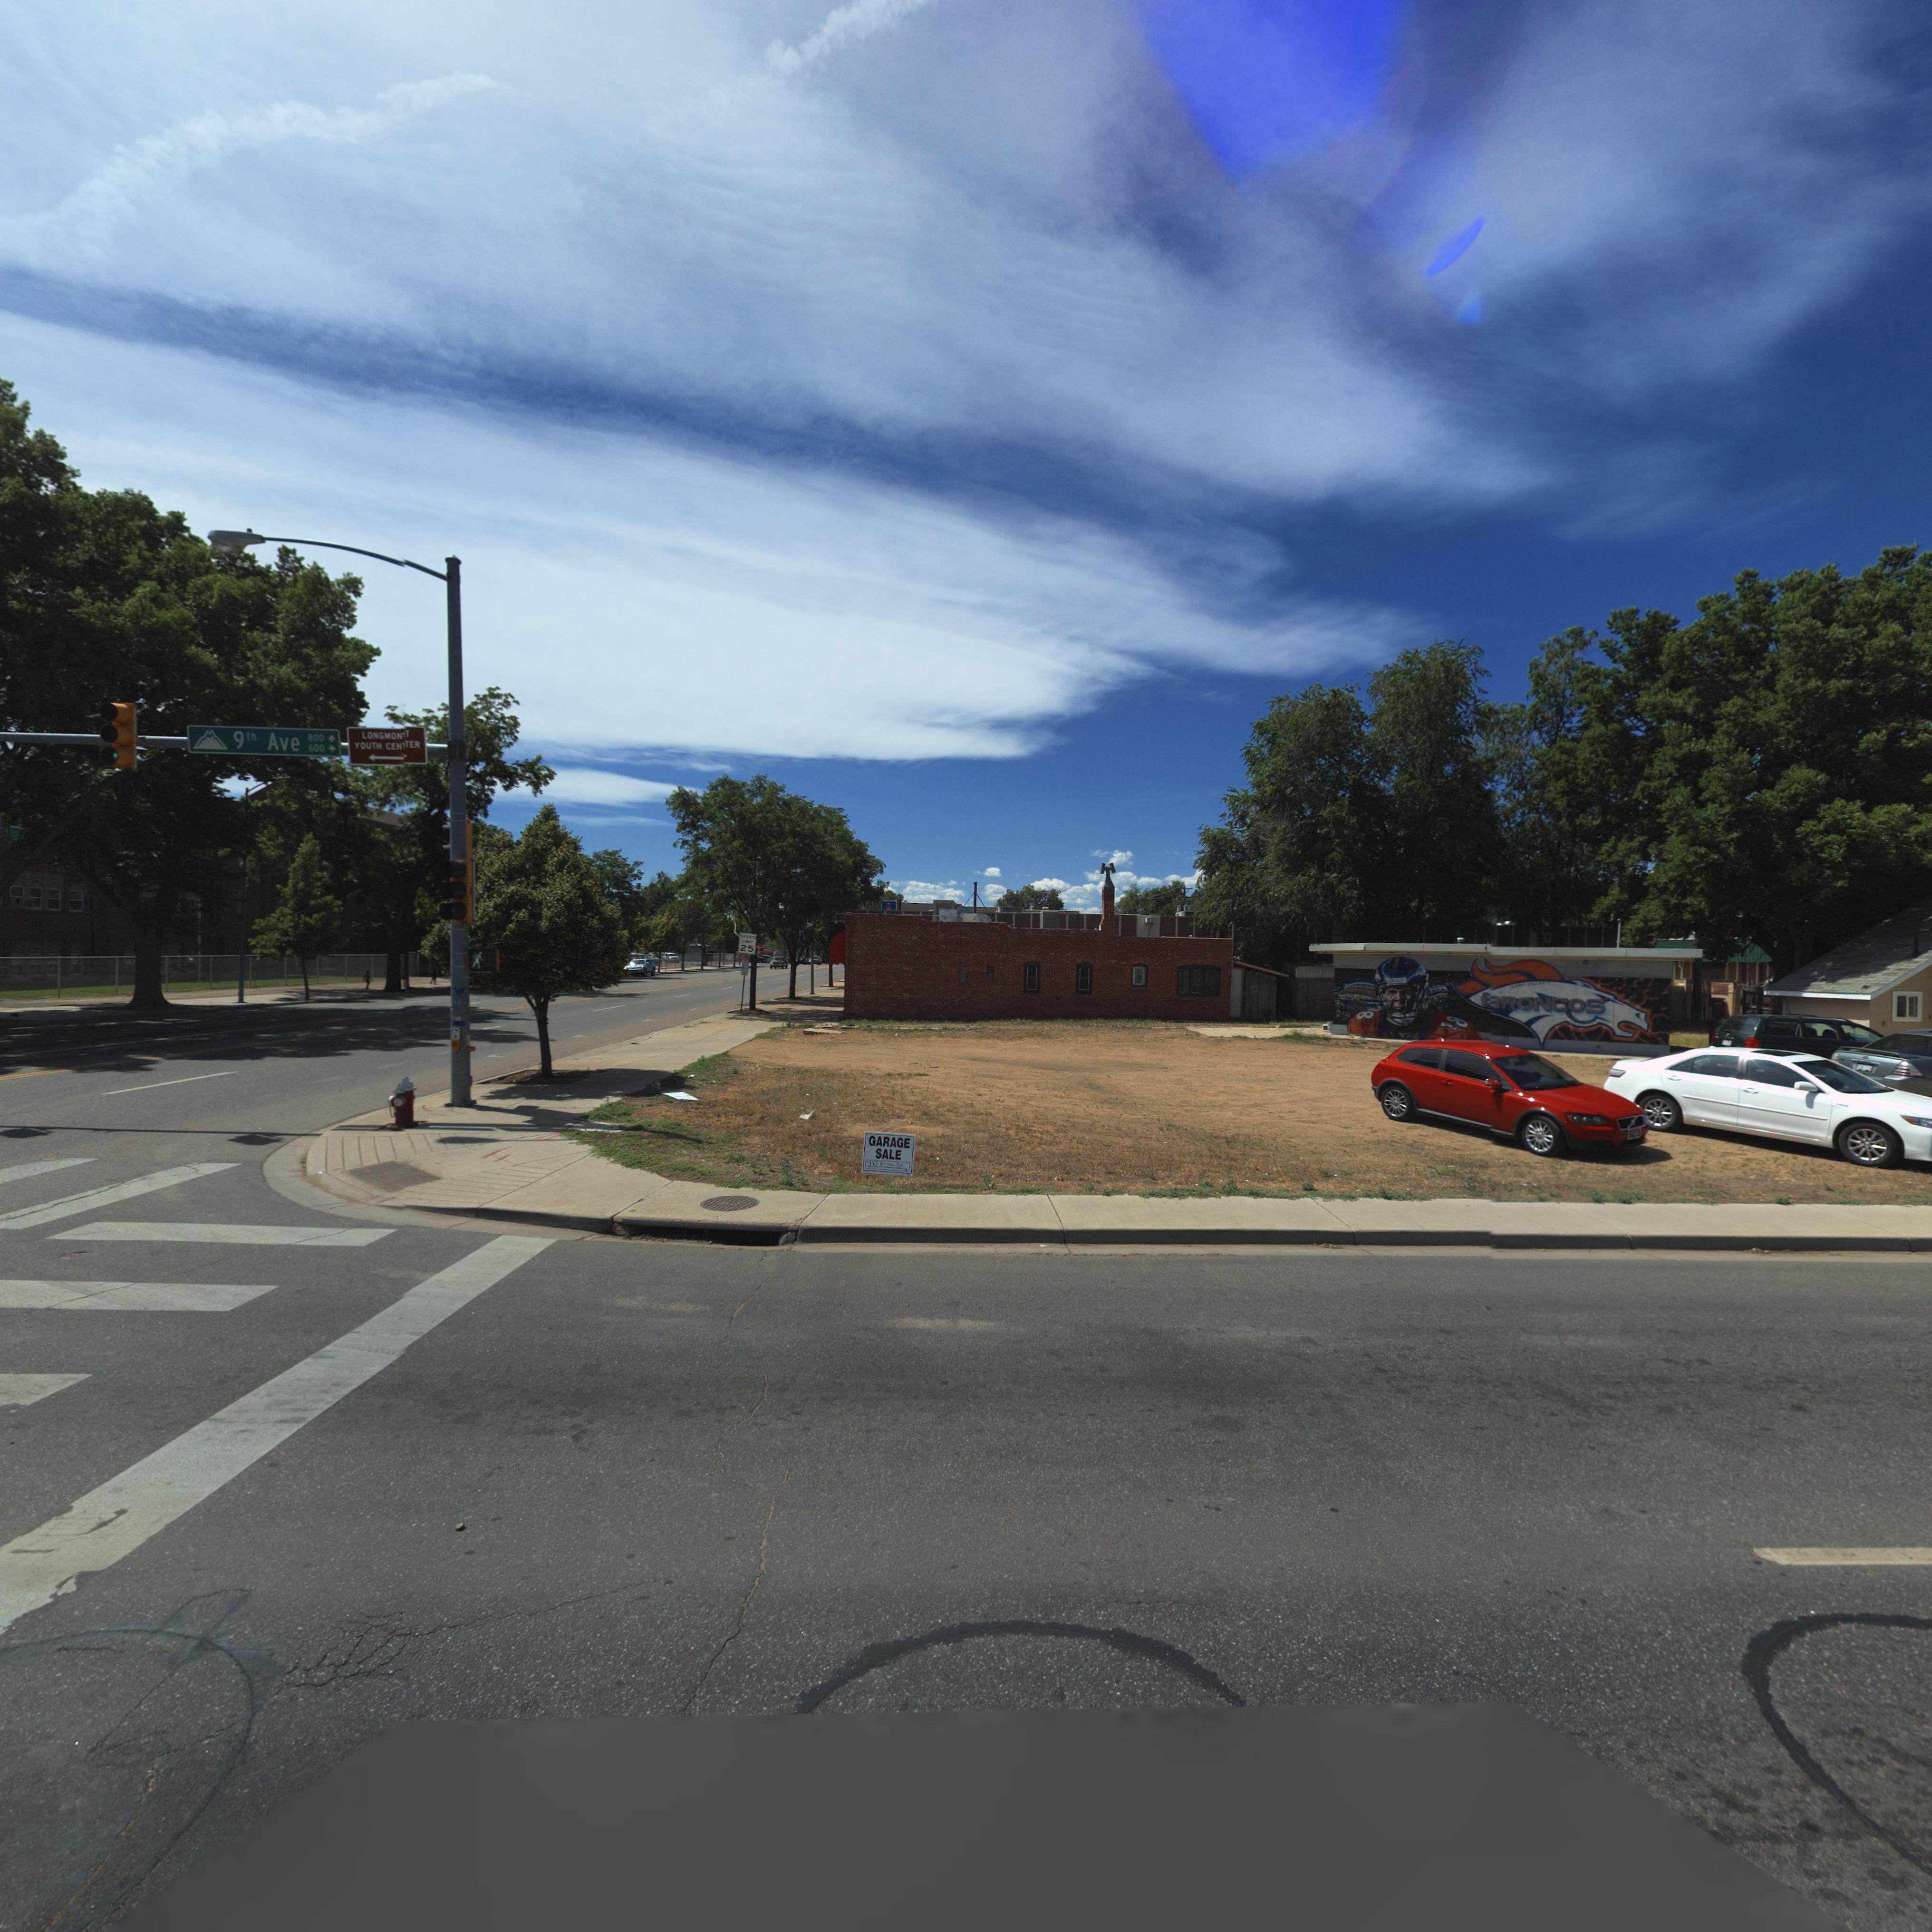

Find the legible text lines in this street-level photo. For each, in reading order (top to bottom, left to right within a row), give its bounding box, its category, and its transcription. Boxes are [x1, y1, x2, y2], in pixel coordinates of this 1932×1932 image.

[232, 730, 301, 752] StreetName: 9th Ave
[307, 733, 324, 742] StreetNumberRange: 800
[308, 743, 338, 752] StreetNumberRange: 600->